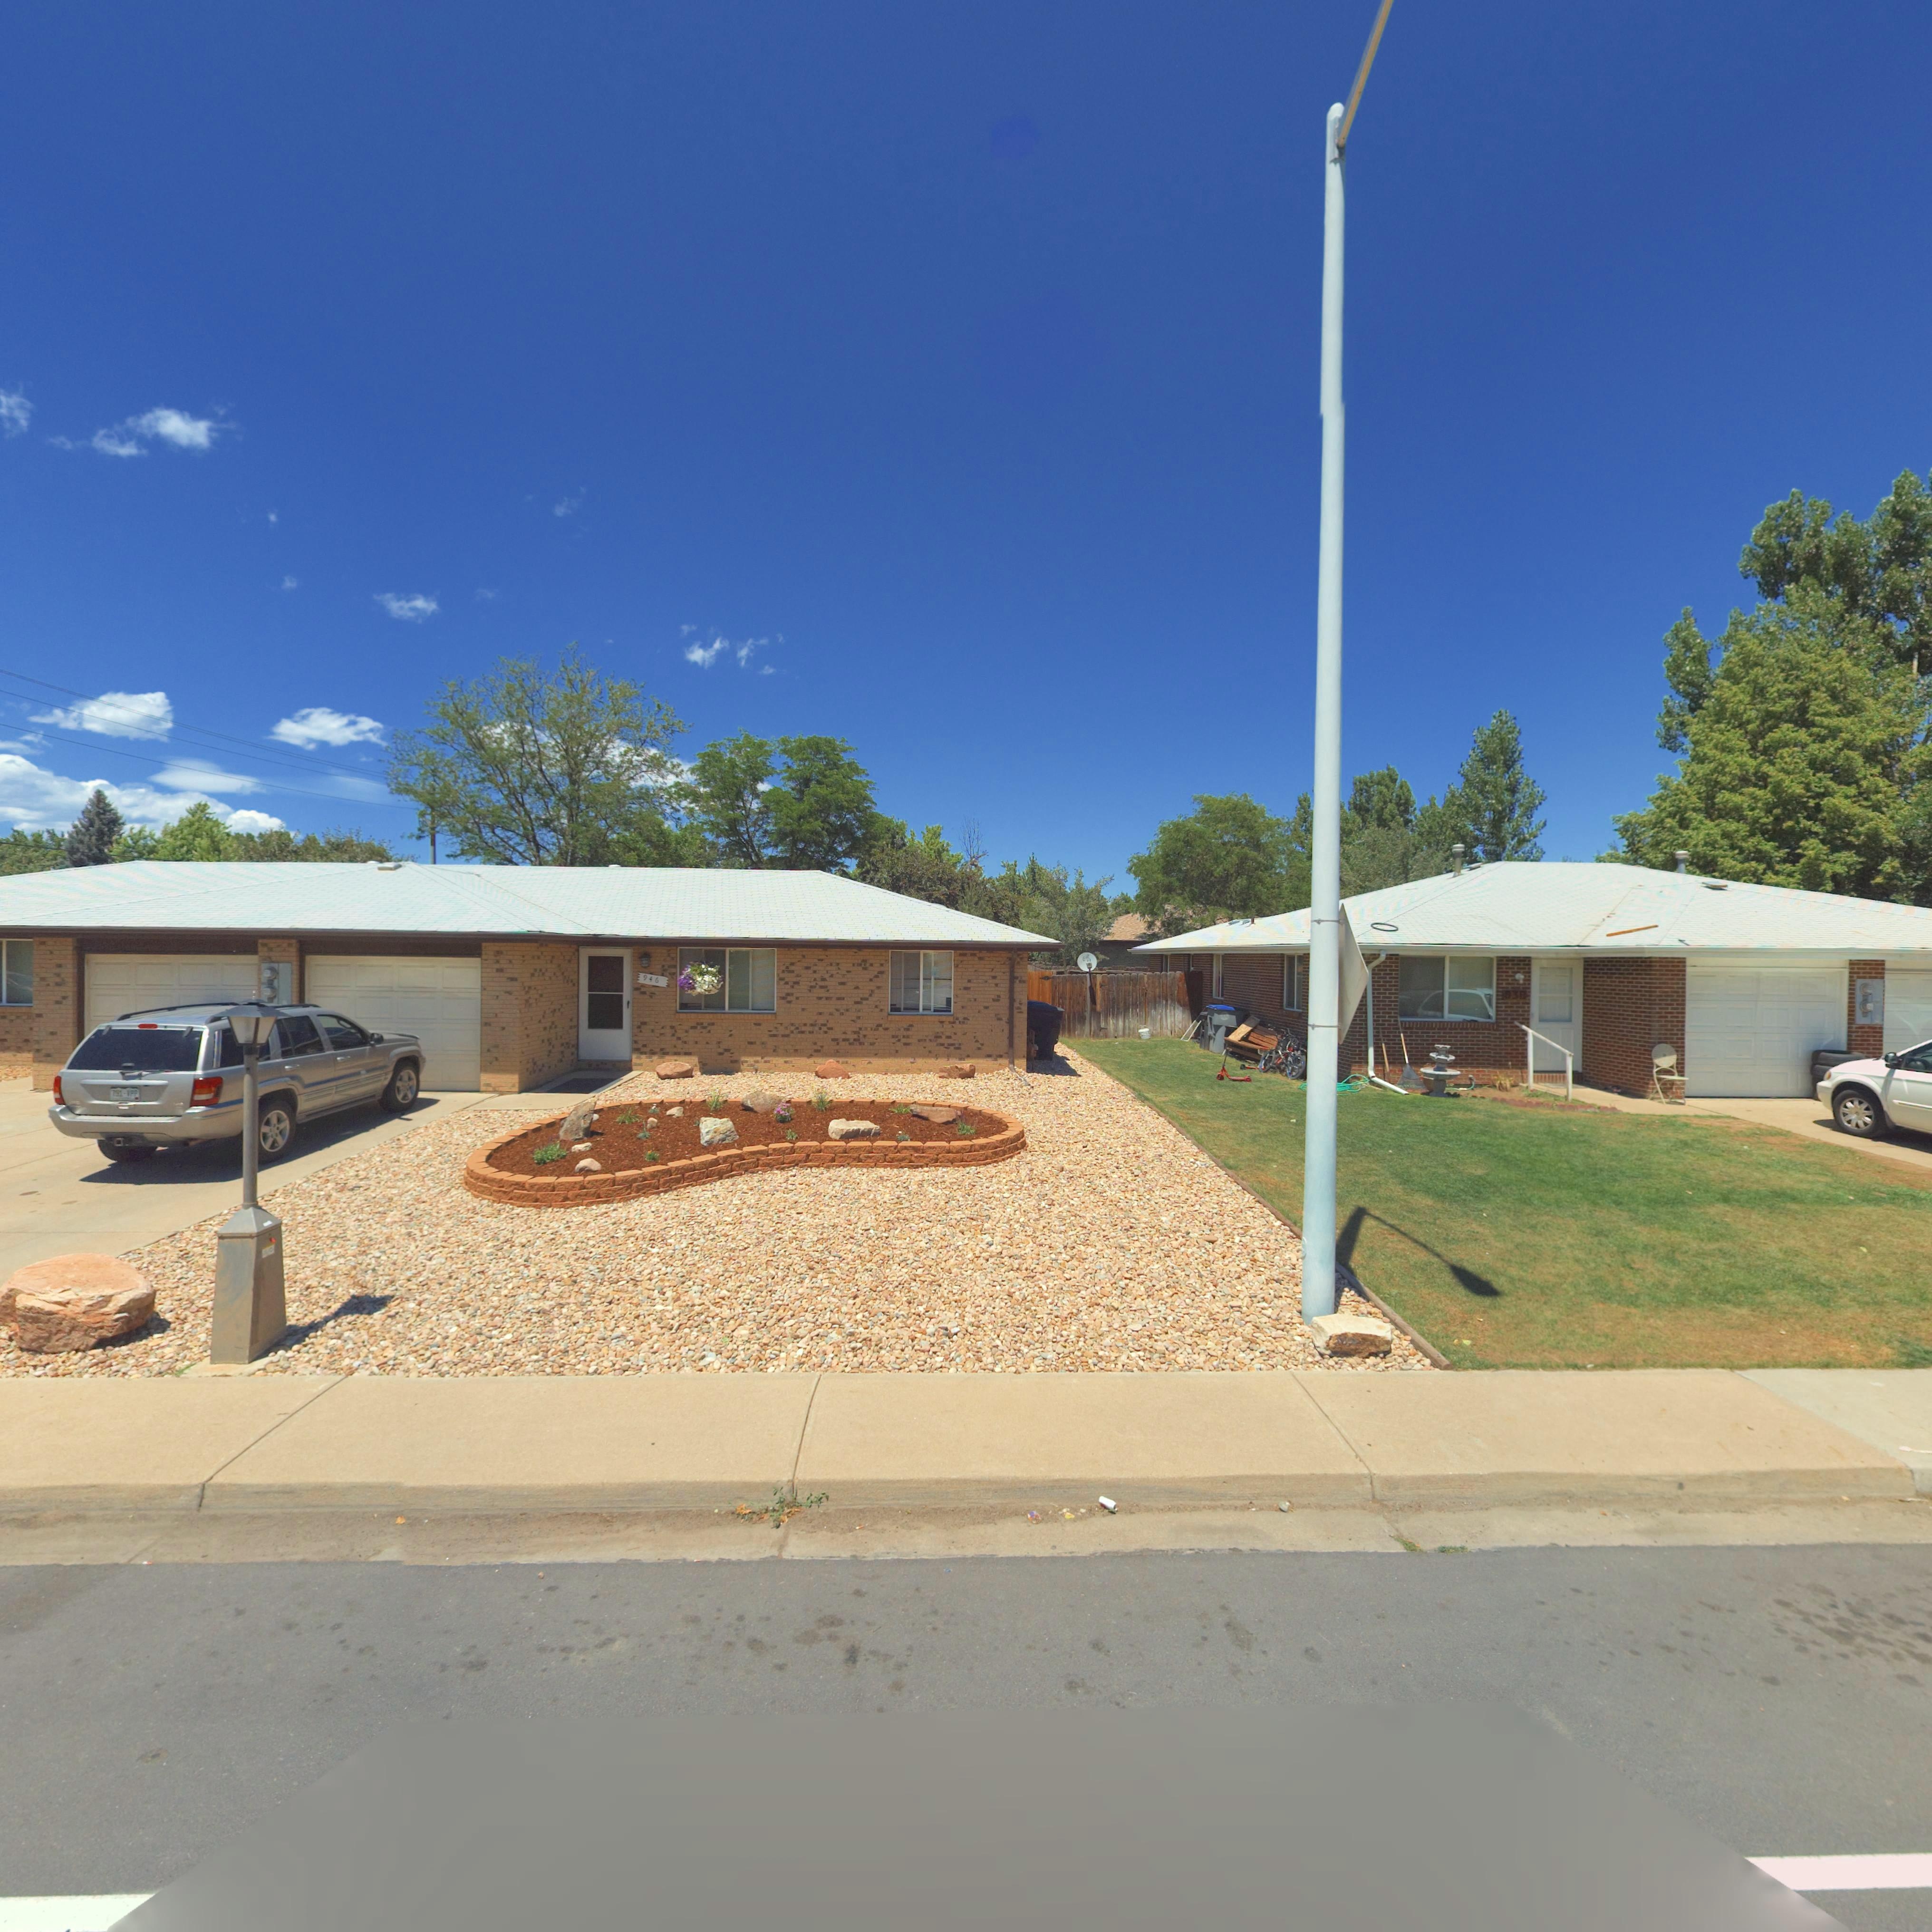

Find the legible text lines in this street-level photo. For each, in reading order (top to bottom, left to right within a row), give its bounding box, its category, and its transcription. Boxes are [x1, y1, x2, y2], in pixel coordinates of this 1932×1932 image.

[643, 974, 659, 984] StreetNumber: 946
[1503, 989, 1527, 1000] StreetNumber: 938